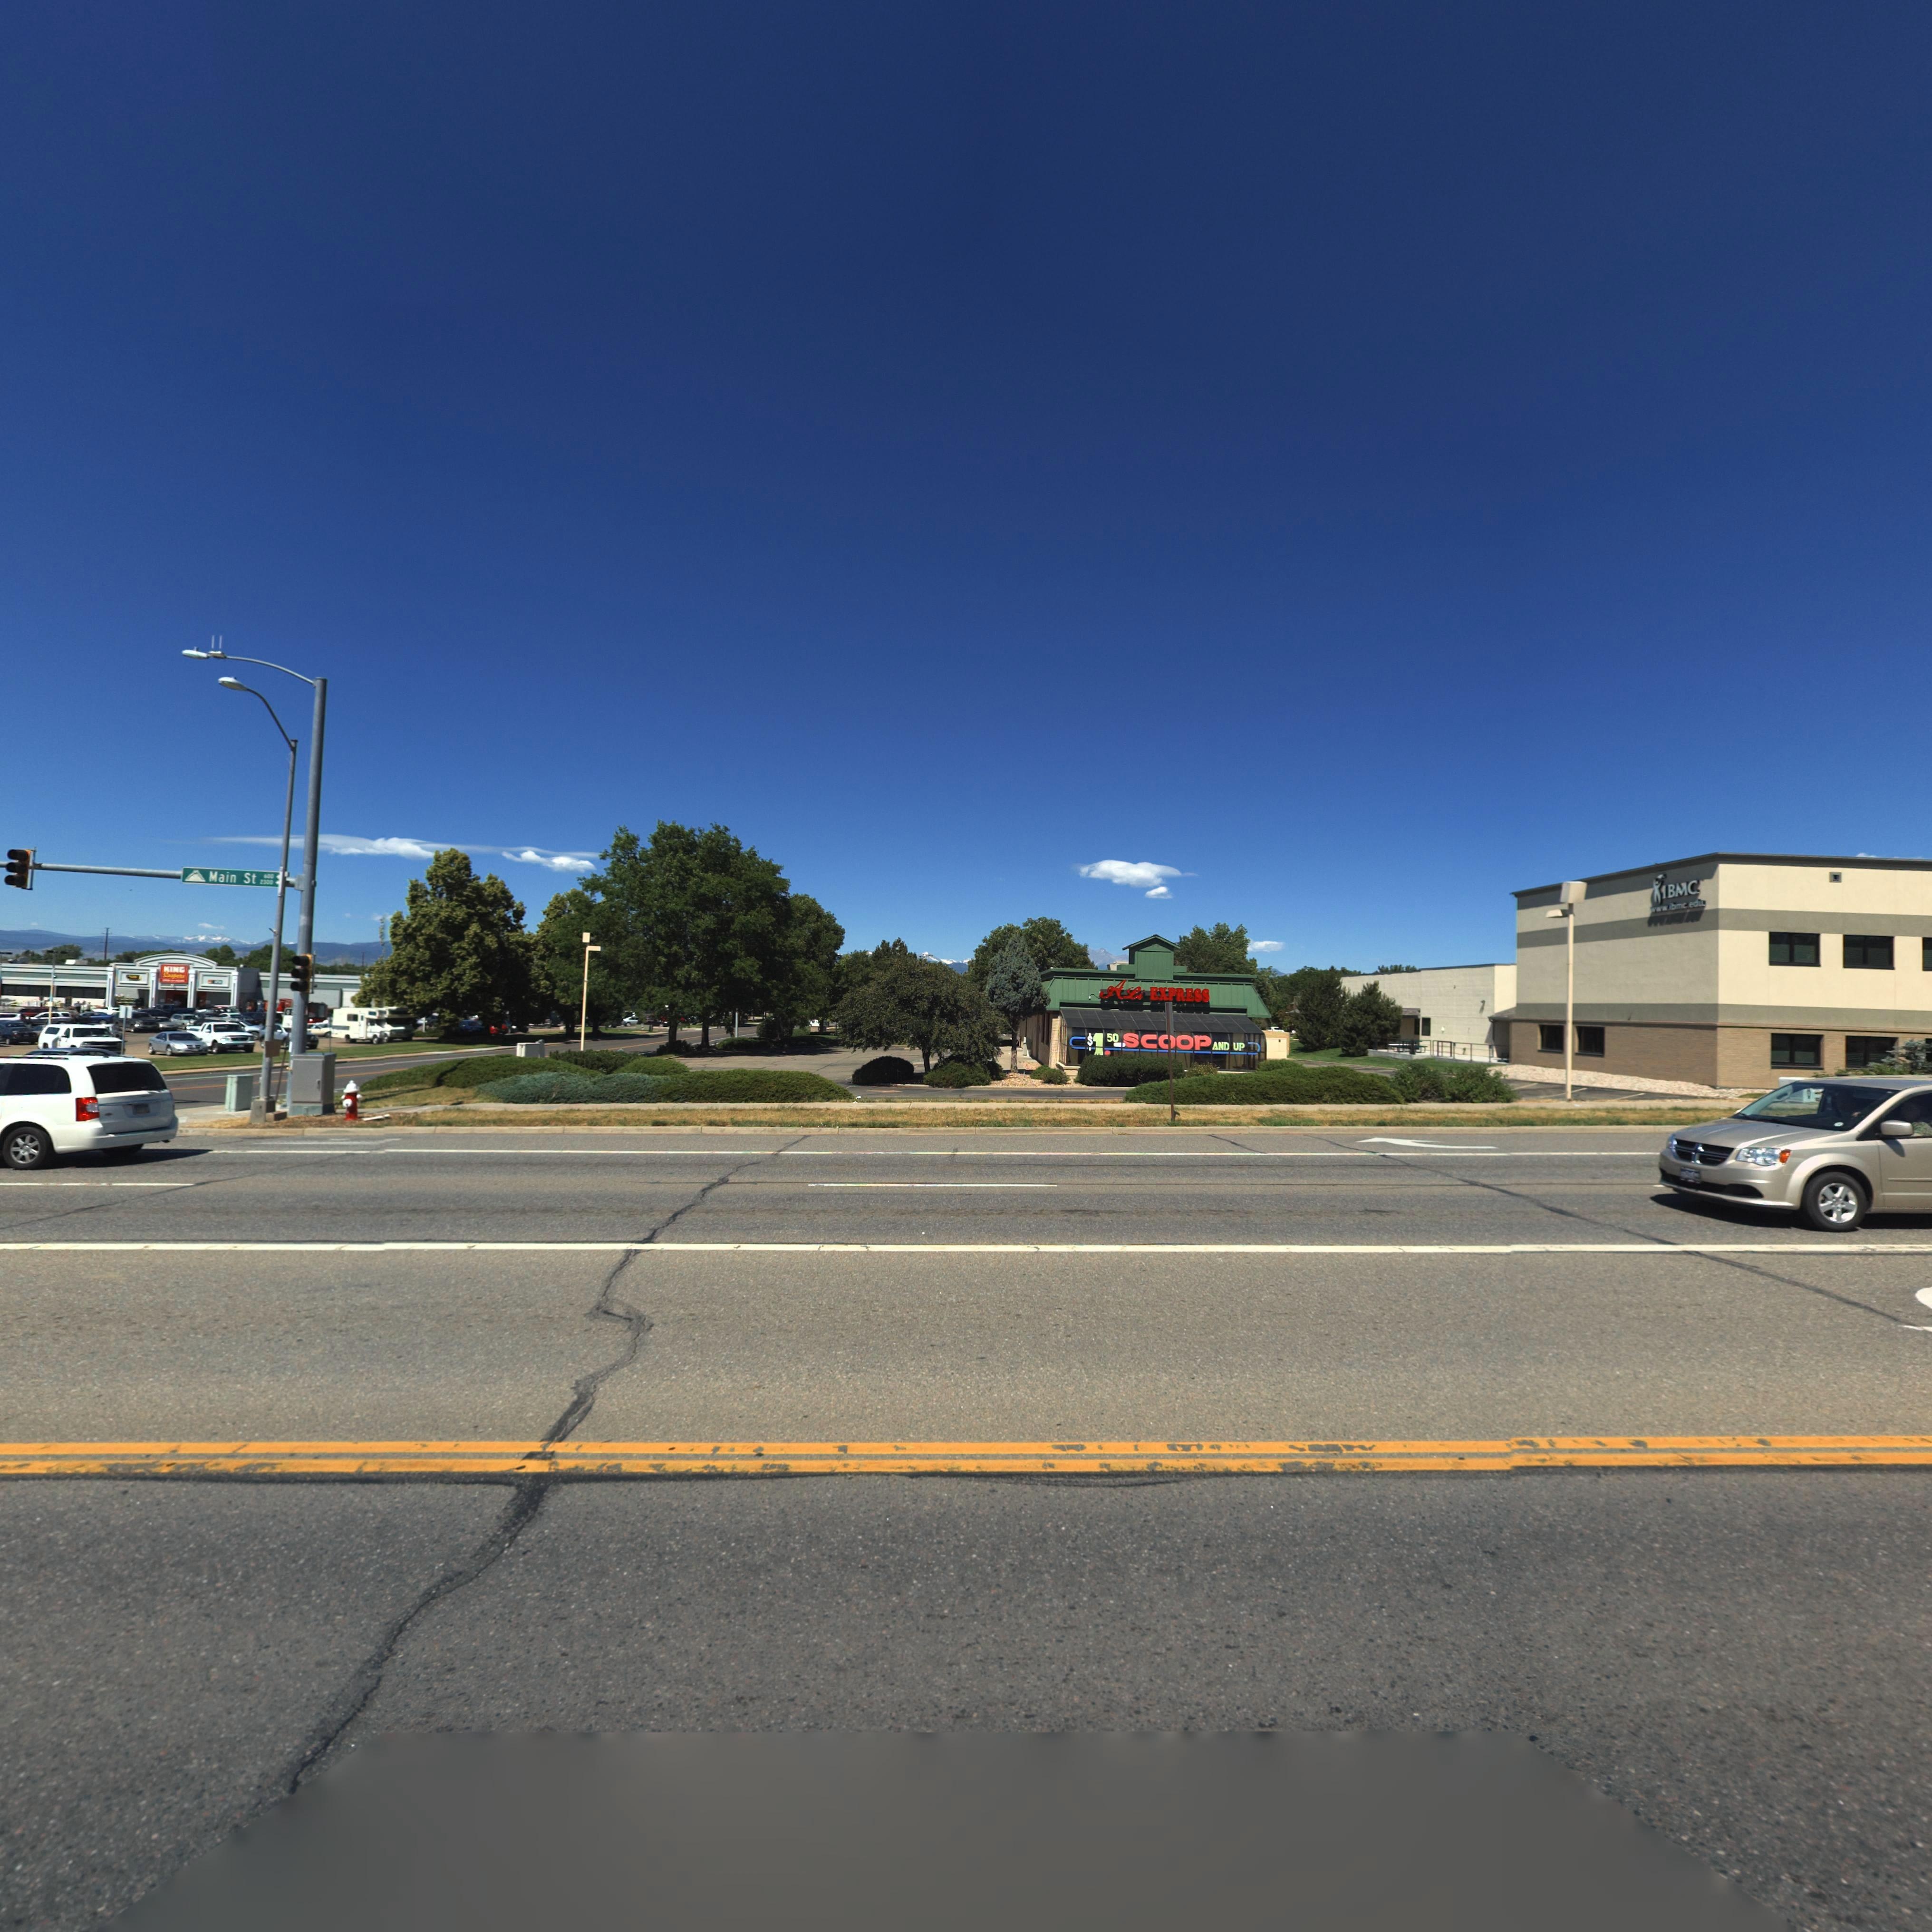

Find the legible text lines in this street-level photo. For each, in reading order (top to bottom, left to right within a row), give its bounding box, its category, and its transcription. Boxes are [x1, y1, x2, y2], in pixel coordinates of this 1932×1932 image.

[208, 870, 257, 885] StreetName: Main St
[263, 873, 274, 879] StreetNumberRange: 600
[259, 879, 279, 886] StreetNumberRange: 2300 *
[1662, 879, 1700, 899] BusinessName: IBMC
[163, 972, 184, 979] StreetNumberRange: Soopers
[164, 966, 185, 973] BusinessName: KING
[1099, 979, 1146, 1000] BusinessName: ALi
[1149, 986, 1209, 1003] BusinessName: EXPRESS